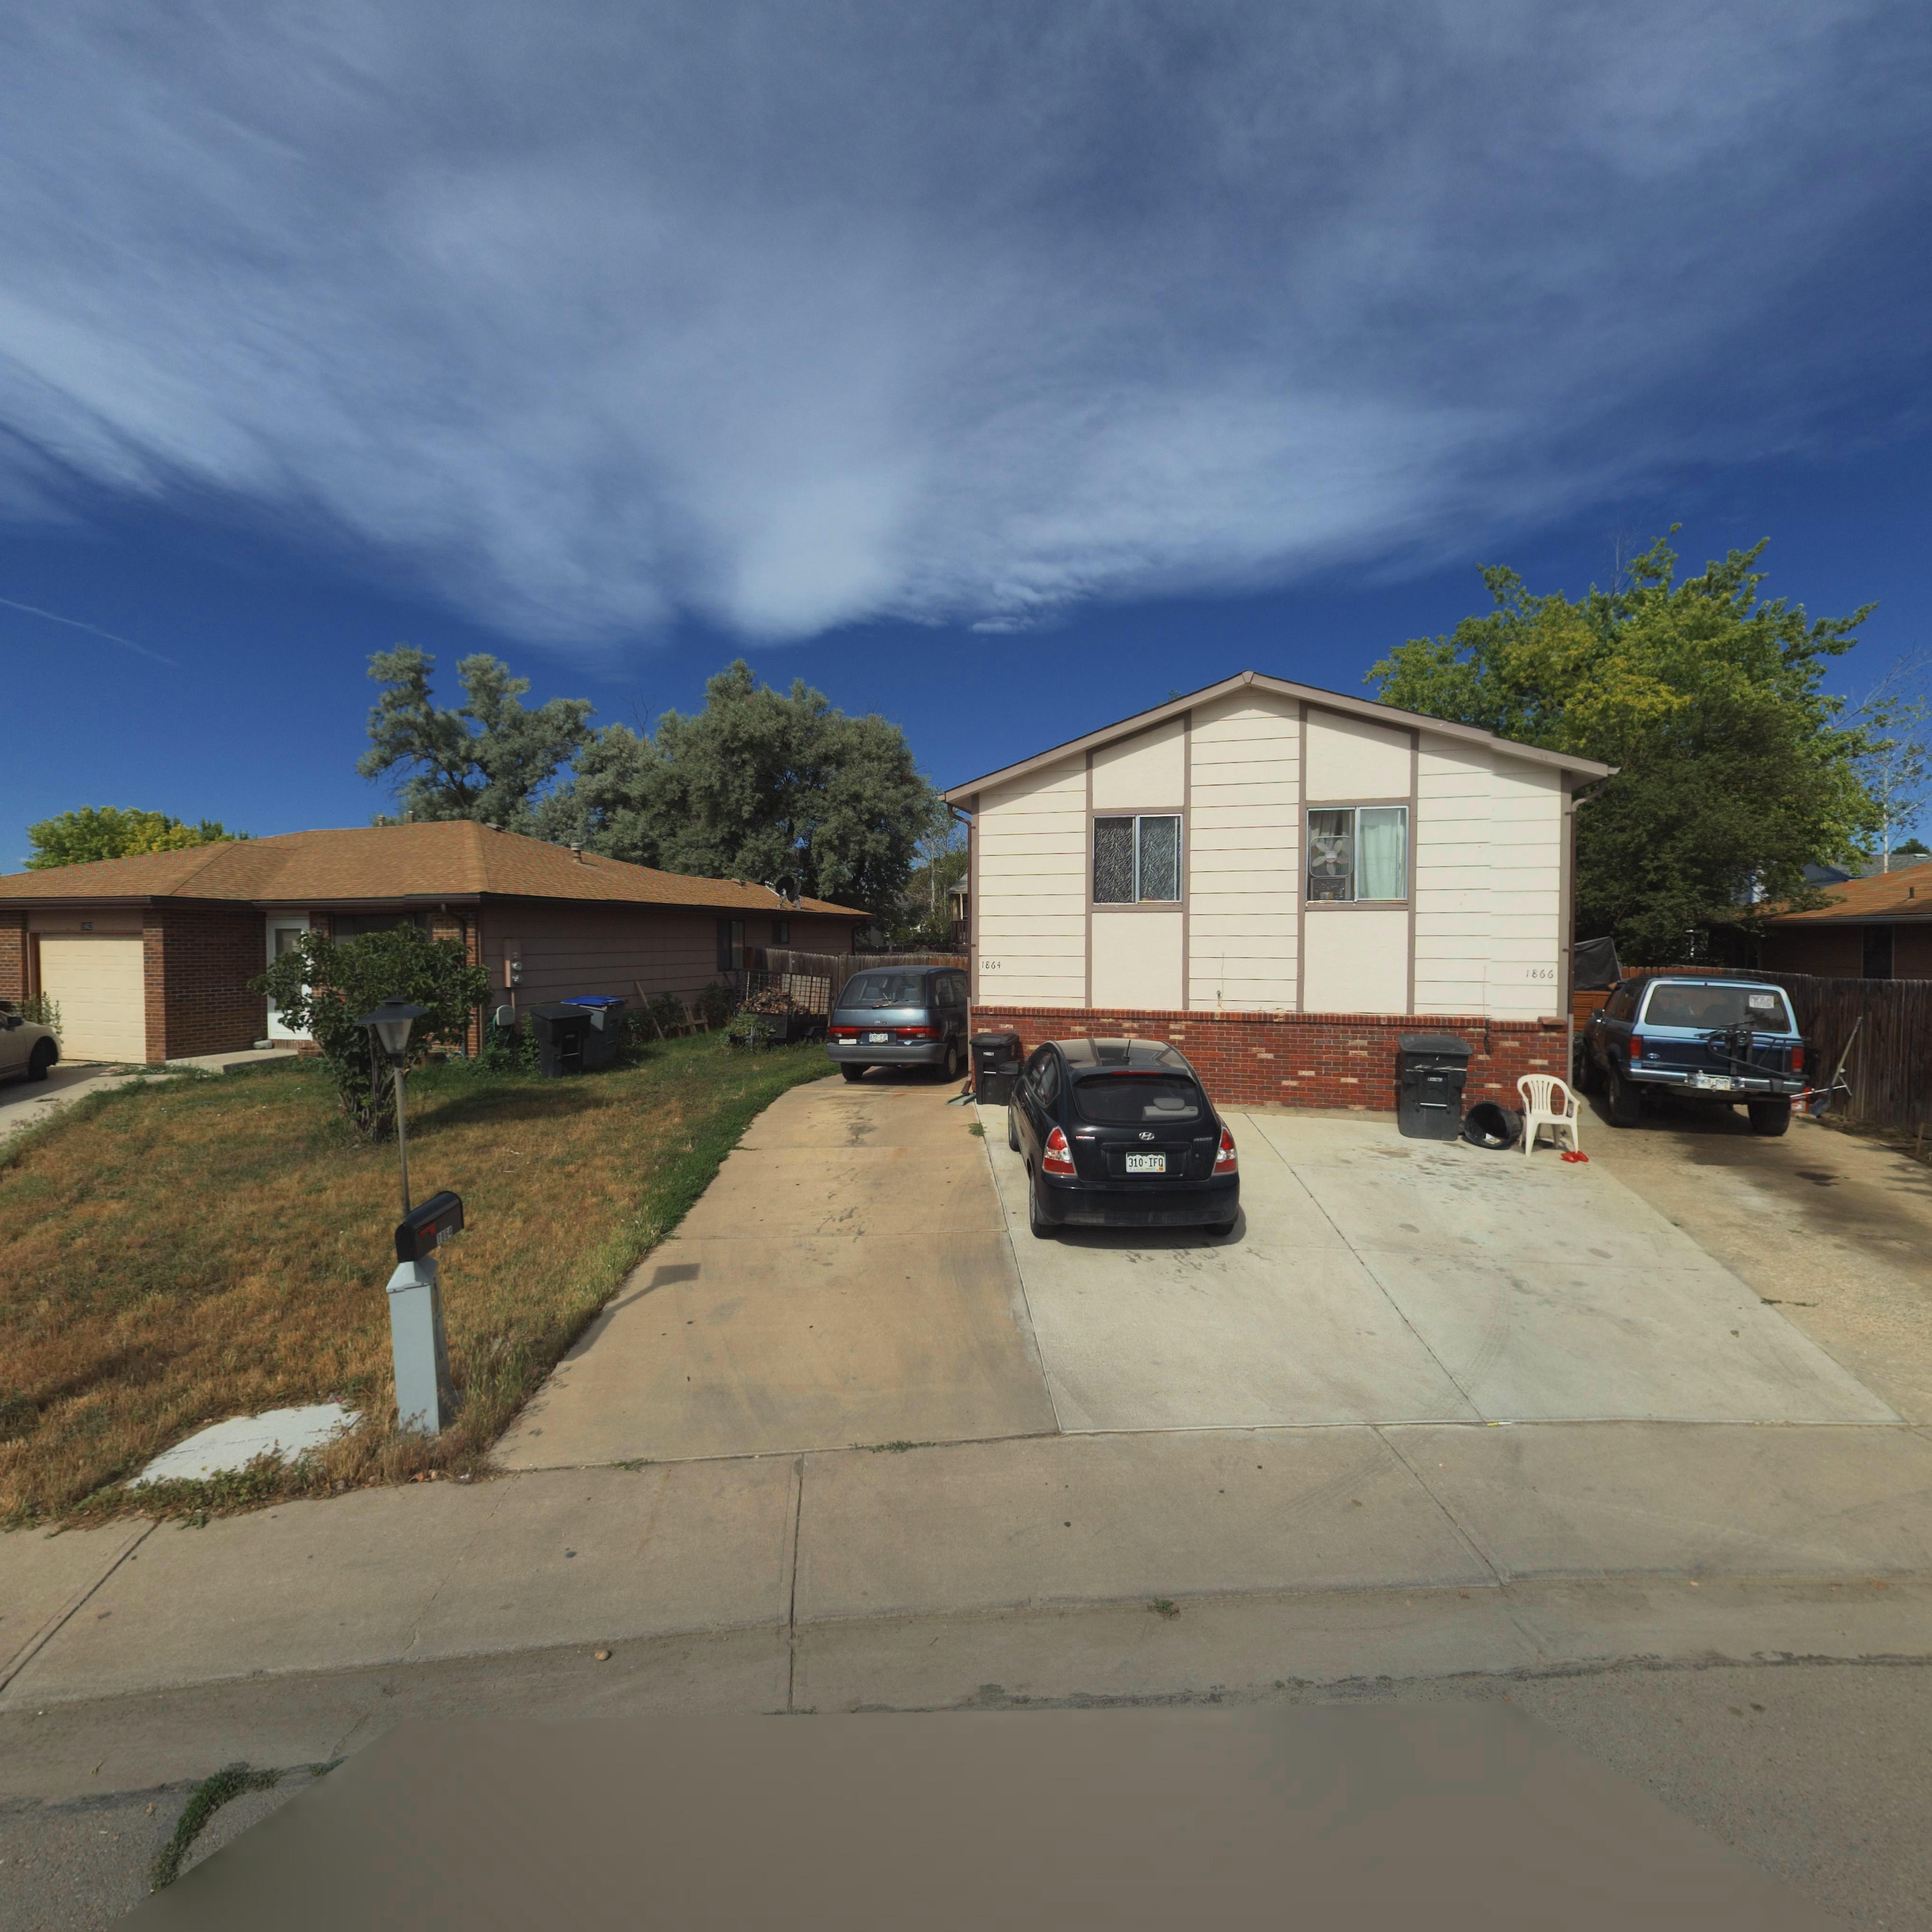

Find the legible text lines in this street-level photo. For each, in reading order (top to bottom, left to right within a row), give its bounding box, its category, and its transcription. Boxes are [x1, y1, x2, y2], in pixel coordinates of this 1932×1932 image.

[981, 960, 1001, 969] StreetNumber: 1864
[1526, 969, 1553, 978] StreetNumber: 1866
[437, 1226, 452, 1244] StreetNumber: 1864